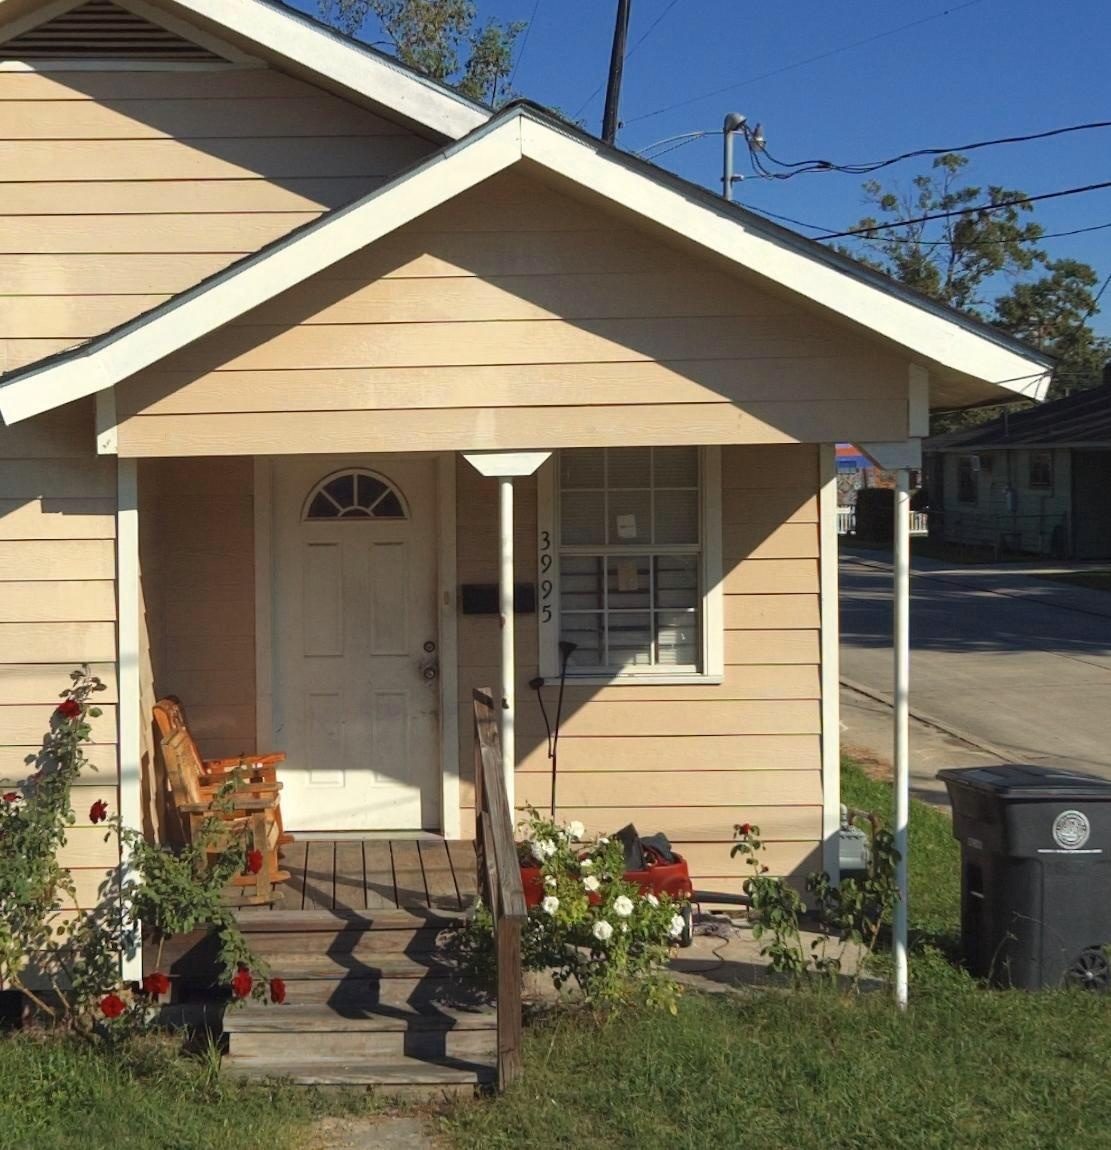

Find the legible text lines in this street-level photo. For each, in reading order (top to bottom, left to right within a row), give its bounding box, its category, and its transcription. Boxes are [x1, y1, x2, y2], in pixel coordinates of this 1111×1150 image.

[538, 529, 554, 626] StreetNumber: 3995